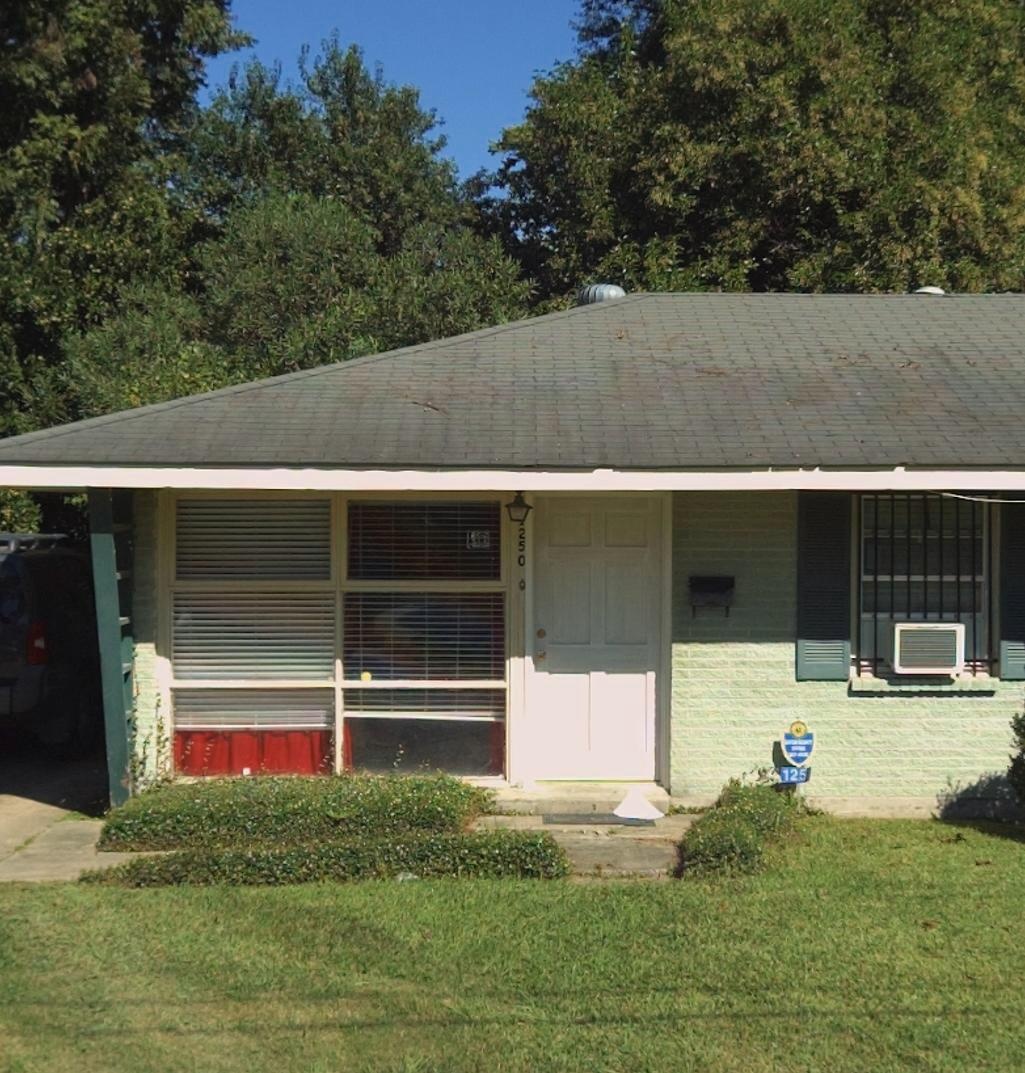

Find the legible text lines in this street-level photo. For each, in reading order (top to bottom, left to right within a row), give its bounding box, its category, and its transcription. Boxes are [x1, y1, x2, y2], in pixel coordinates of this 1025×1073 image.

[518, 521, 526, 568] StreetNumber: *250
[781, 768, 808, 782] StreetNumber: 125